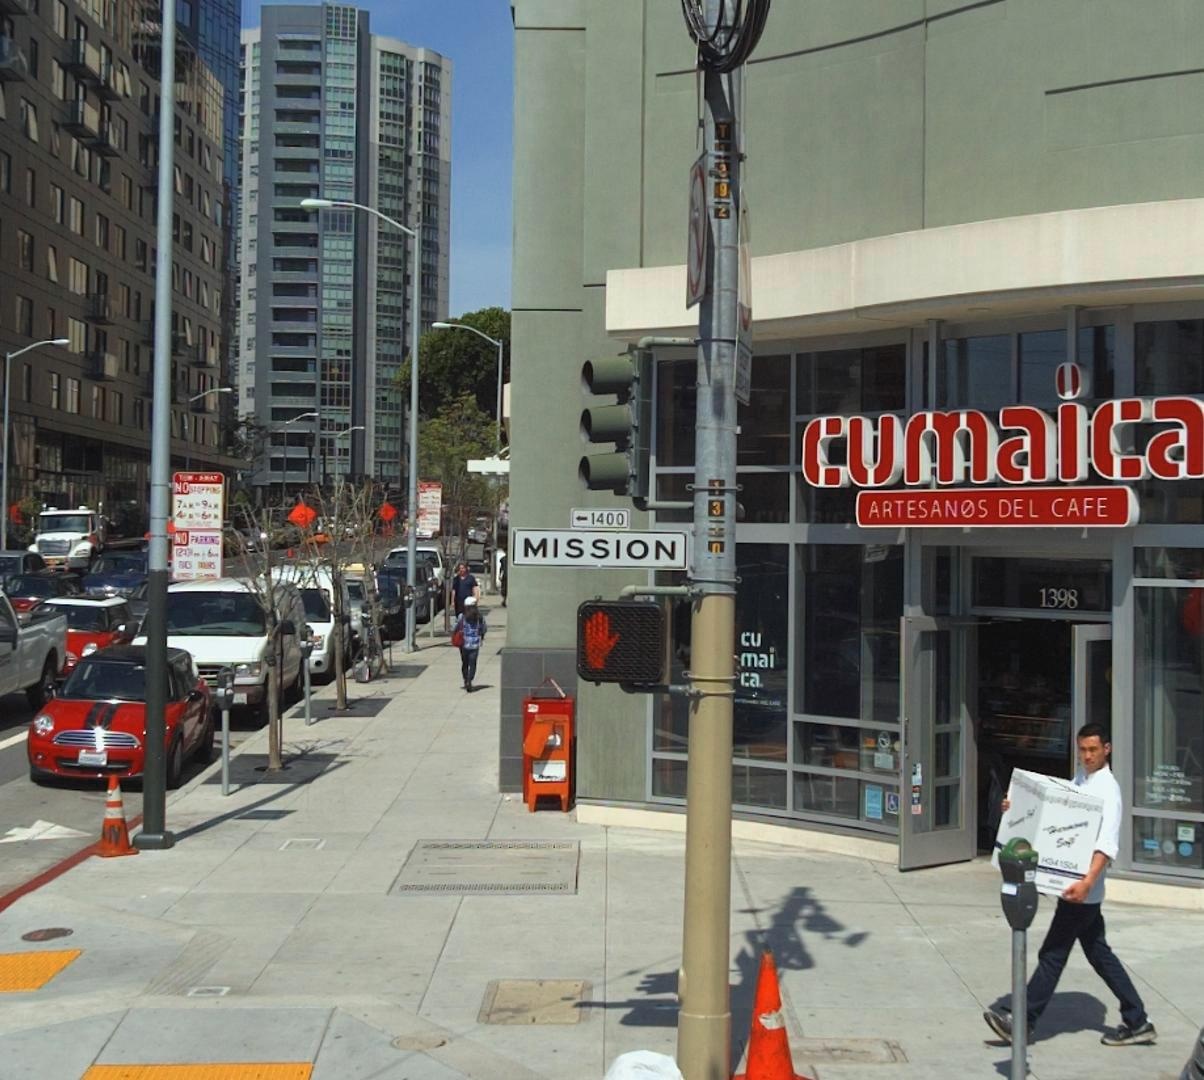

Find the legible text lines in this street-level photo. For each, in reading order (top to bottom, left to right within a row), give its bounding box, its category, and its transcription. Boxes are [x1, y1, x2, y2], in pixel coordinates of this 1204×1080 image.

[715, 123, 730, 218] None: T**92
[796, 351, 1203, 488] BusinessName: cumaica
[174, 480, 220, 493] None: NO STOPPING
[174, 511, 219, 520] None: 4PM TO 6PM
[175, 498, 219, 509] None: 7AM TO 9AM
[574, 512, 625, 525] StreetNumberRange: <-1400
[709, 479, 725, 557] None: 13**
[867, 496, 1115, 522] None: ARTESAN0S DEL CAFE
[173, 532, 221, 545] None: NO PARKING
[206, 547, 220, 557] None: 6PM
[522, 536, 678, 562] StreetName: MISSION
[1036, 586, 1078, 608] StreetNumber: 1398
[738, 629, 763, 649] BusinessName: cu
[737, 643, 777, 671] BusinessName: mai
[738, 670, 764, 689] BusinessName: ca